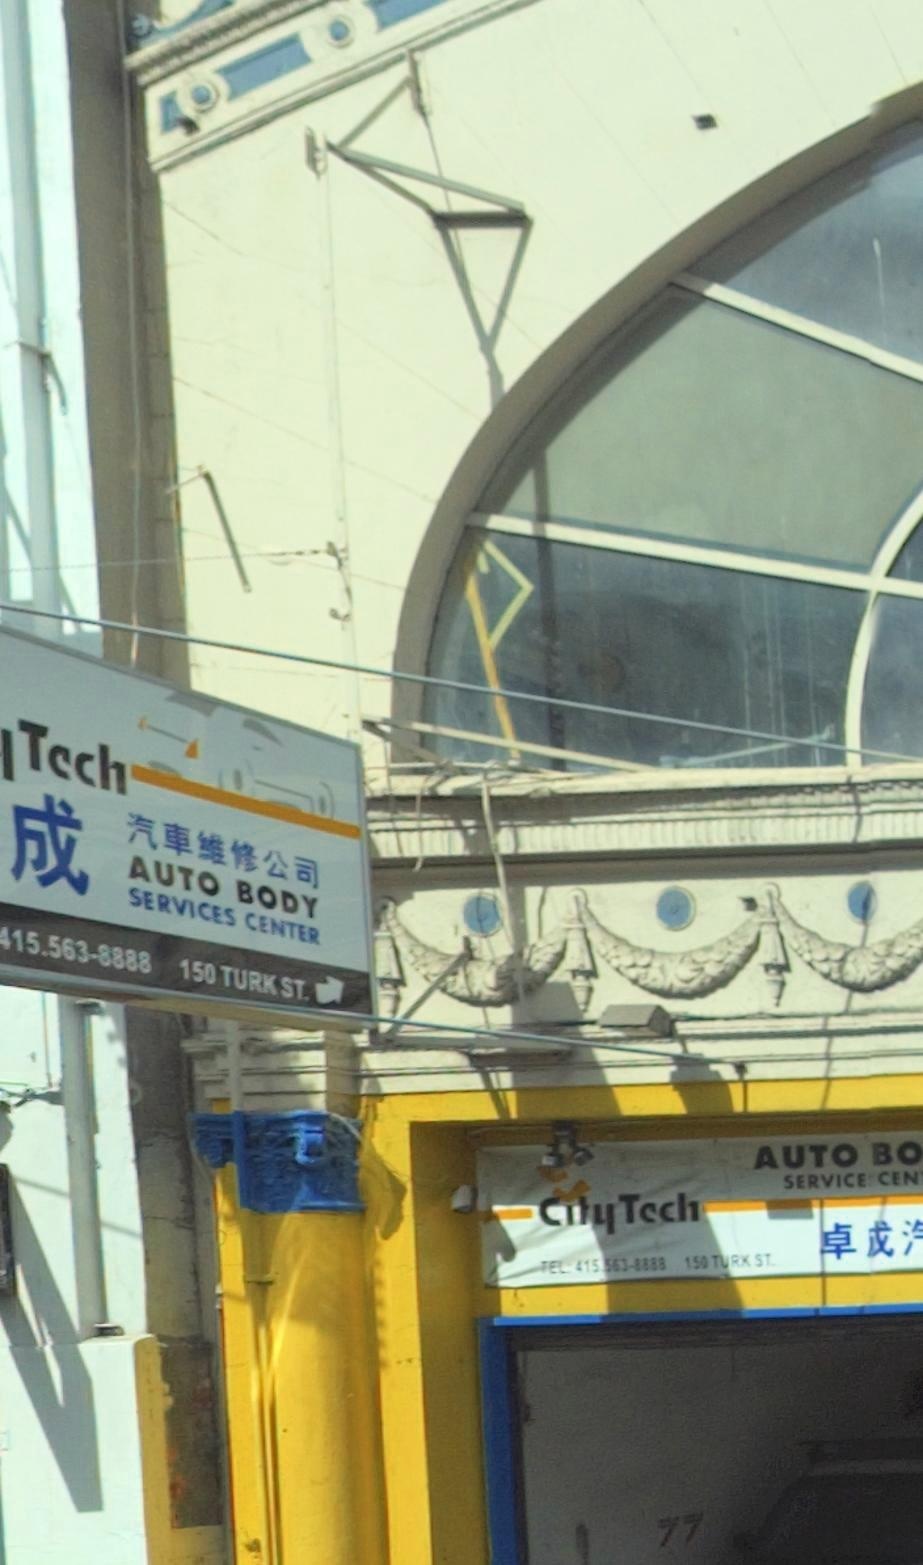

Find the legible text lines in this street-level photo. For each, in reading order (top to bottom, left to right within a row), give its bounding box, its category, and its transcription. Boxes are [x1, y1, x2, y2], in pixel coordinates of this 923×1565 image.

[15, 715, 129, 798] BusinessName: Tech
[123, 851, 325, 923] None: AUTO BODY
[122, 885, 323, 950] None: SERVICES CENTER
[10, 924, 155, 981] None: 15.563-8888
[176, 952, 220, 992] StreetNumber: 150
[216, 960, 312, 1006] StreetName: TURK ST.
[747, 1138, 923, 1174] None: AUTO BO
[779, 1168, 921, 1192] None: SERVICE CEN
[535, 1188, 702, 1237] BusinessName: CityTech
[538, 1253, 670, 1277] None: TEL:415-563-8888
[683, 1252, 711, 1273] StreetNumber: 150
[709, 1250, 774, 1271] StreetName: TURK ST.
[650, 1508, 709, 1552] None: 77